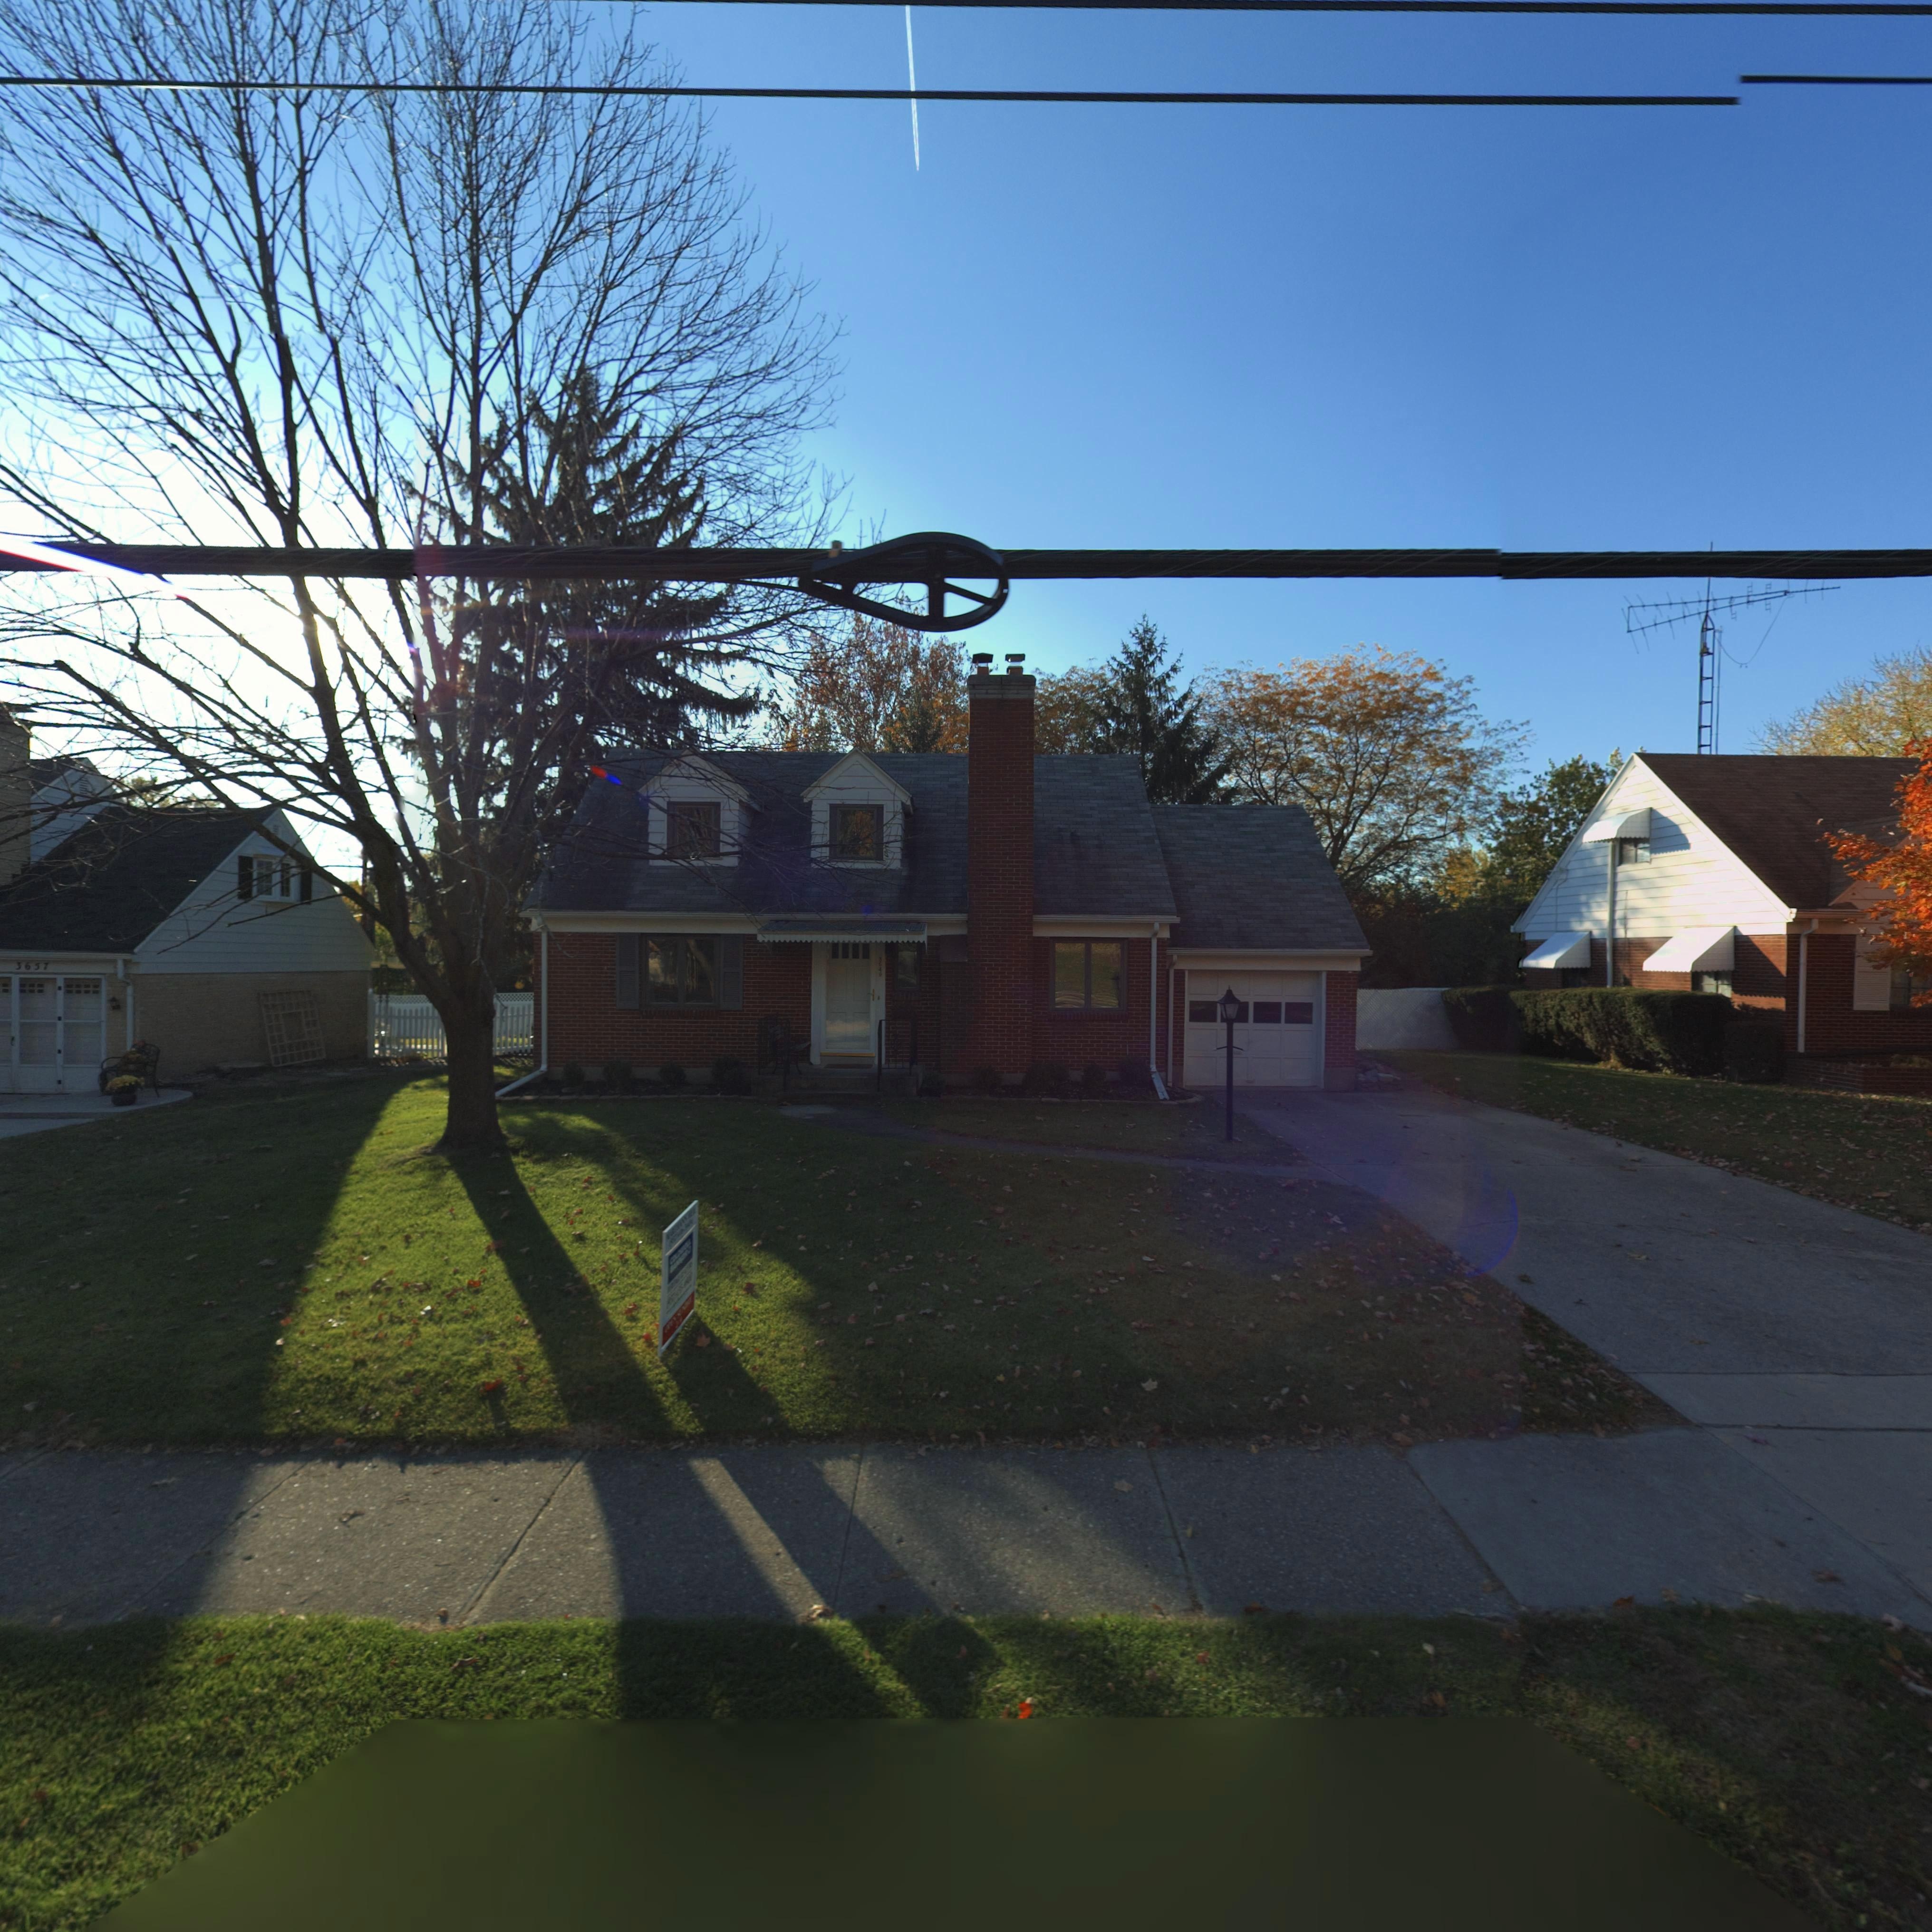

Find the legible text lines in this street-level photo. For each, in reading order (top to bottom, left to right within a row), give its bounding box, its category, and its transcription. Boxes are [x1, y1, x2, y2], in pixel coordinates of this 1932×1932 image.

[14, 961, 48, 970] StreetNumber: 3657
[878, 956, 882, 976] StreetNumber: 3649